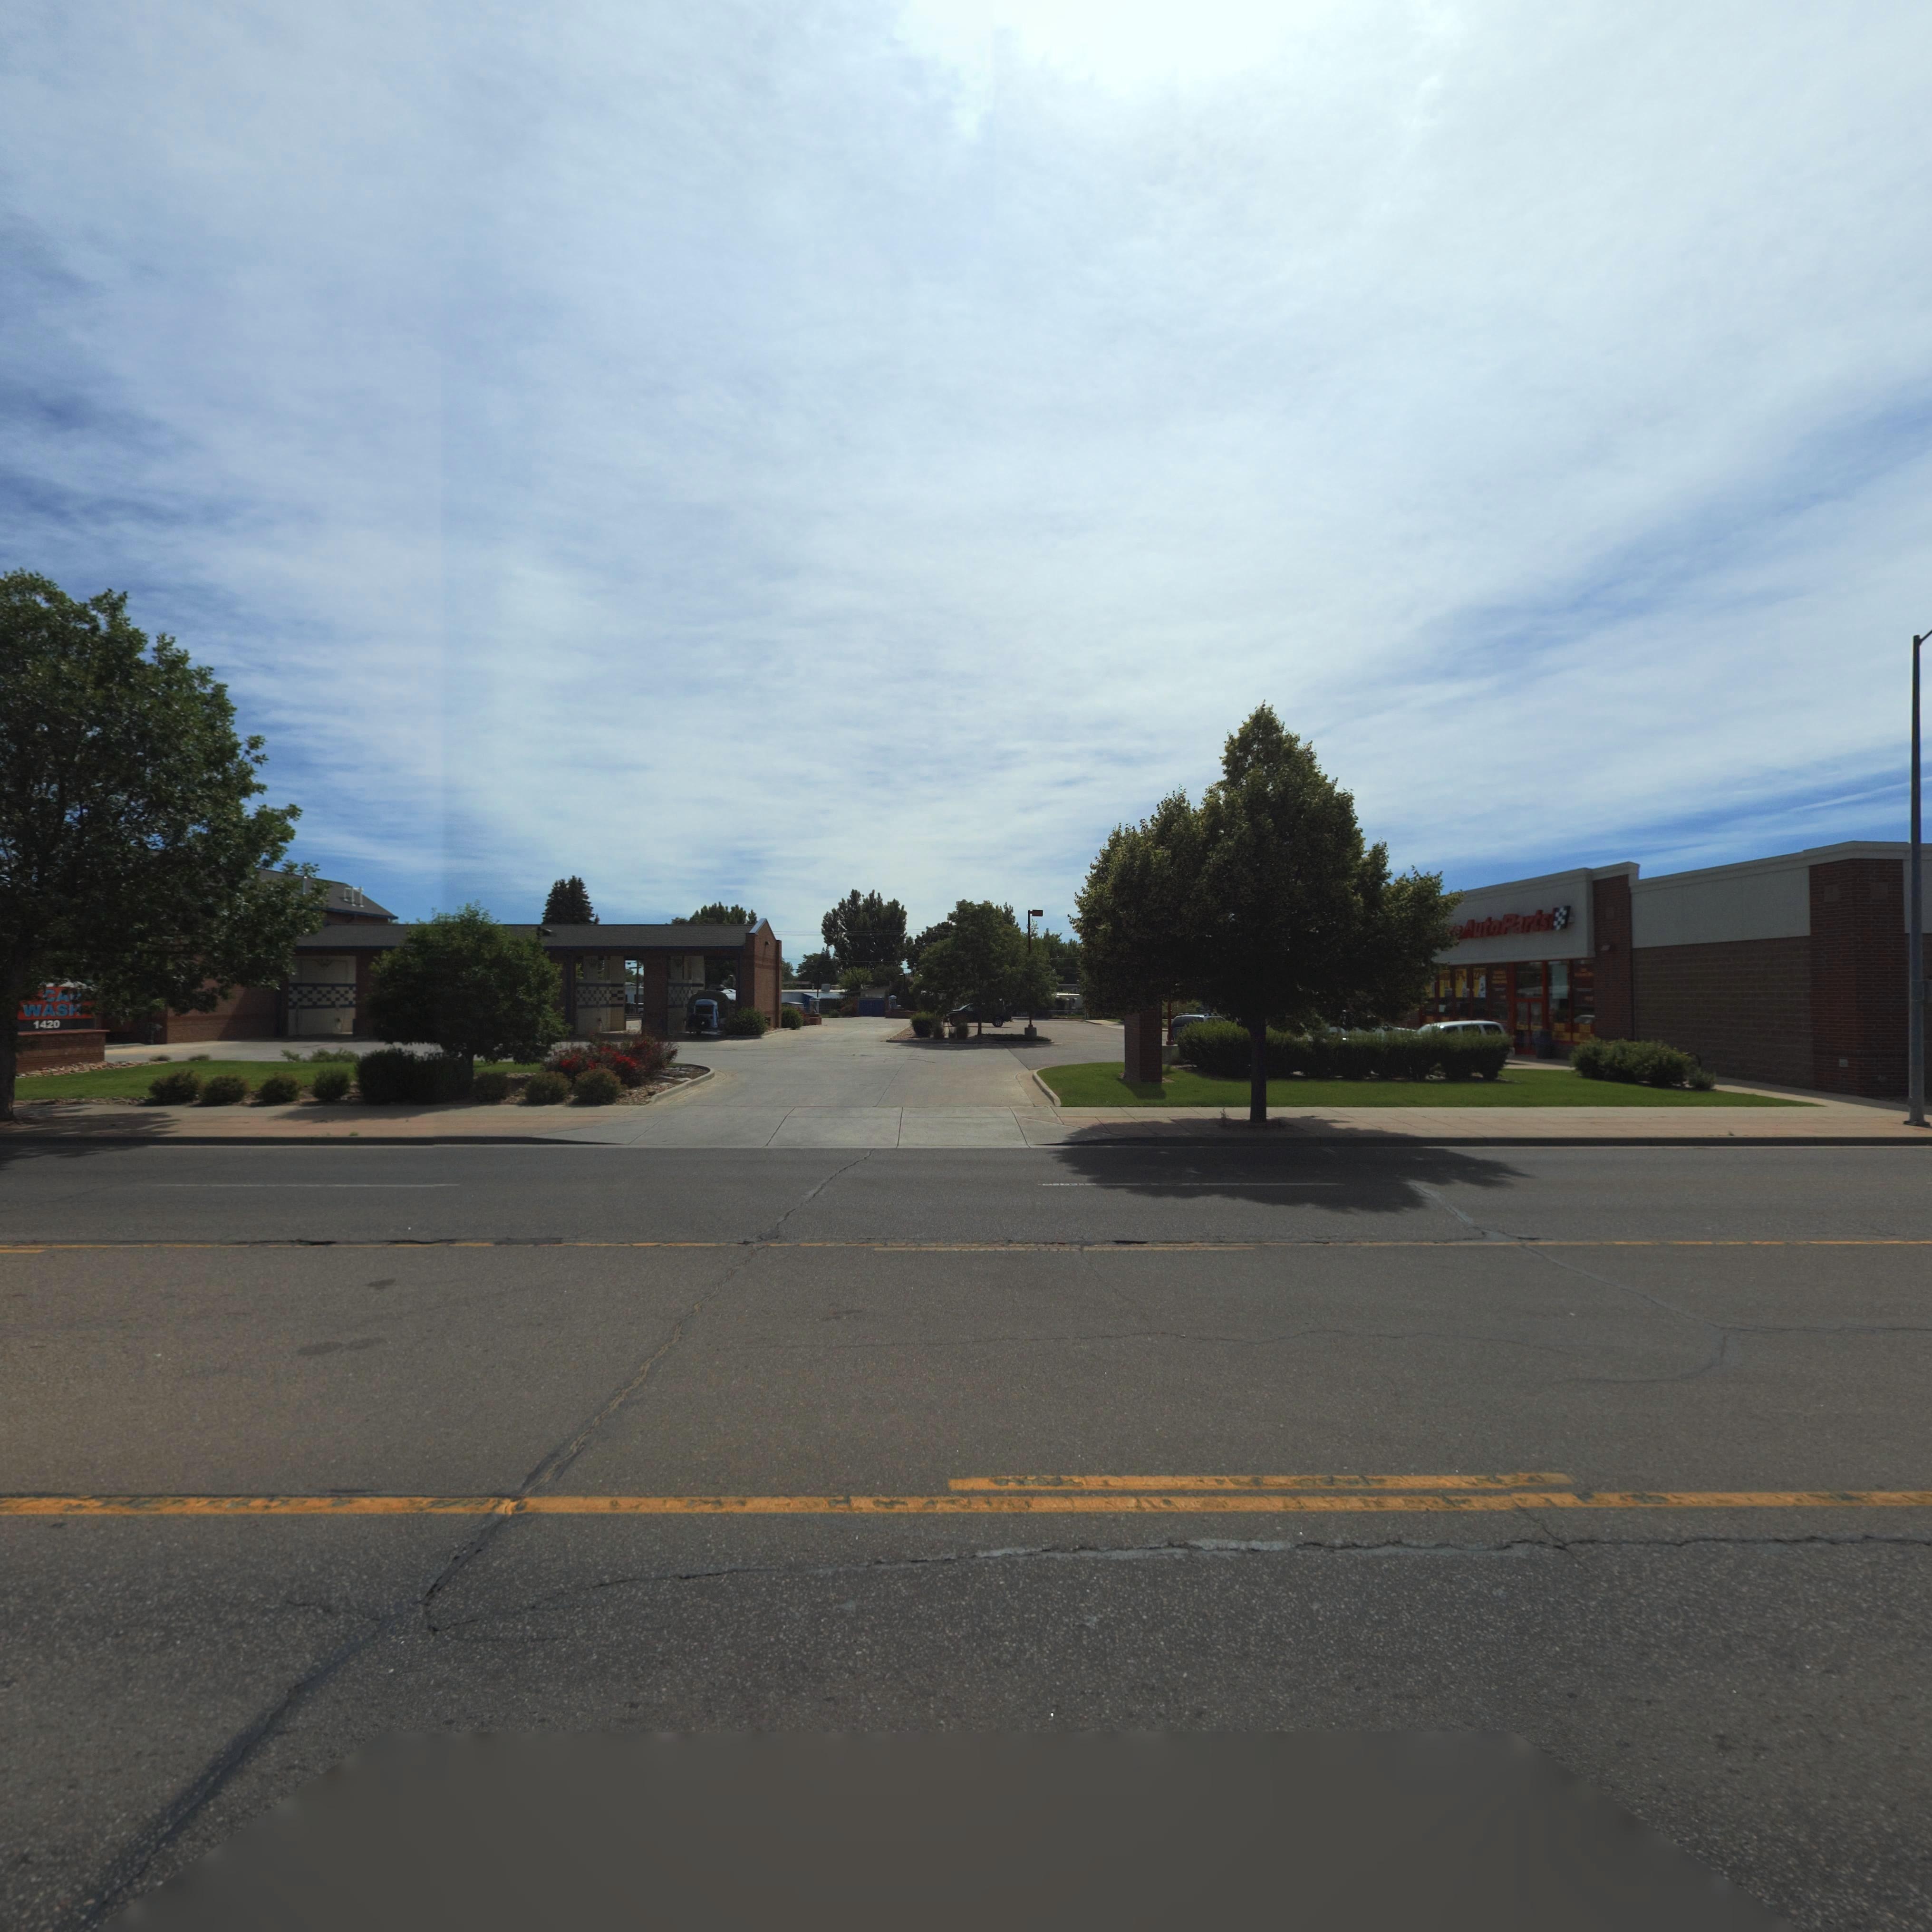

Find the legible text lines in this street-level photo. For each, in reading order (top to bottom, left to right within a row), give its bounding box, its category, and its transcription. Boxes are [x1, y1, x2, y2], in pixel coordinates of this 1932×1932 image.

[1461, 908, 1551, 939] BusinessName: AutoParts
[32, 1019, 60, 1029] StreetNumber: 1420